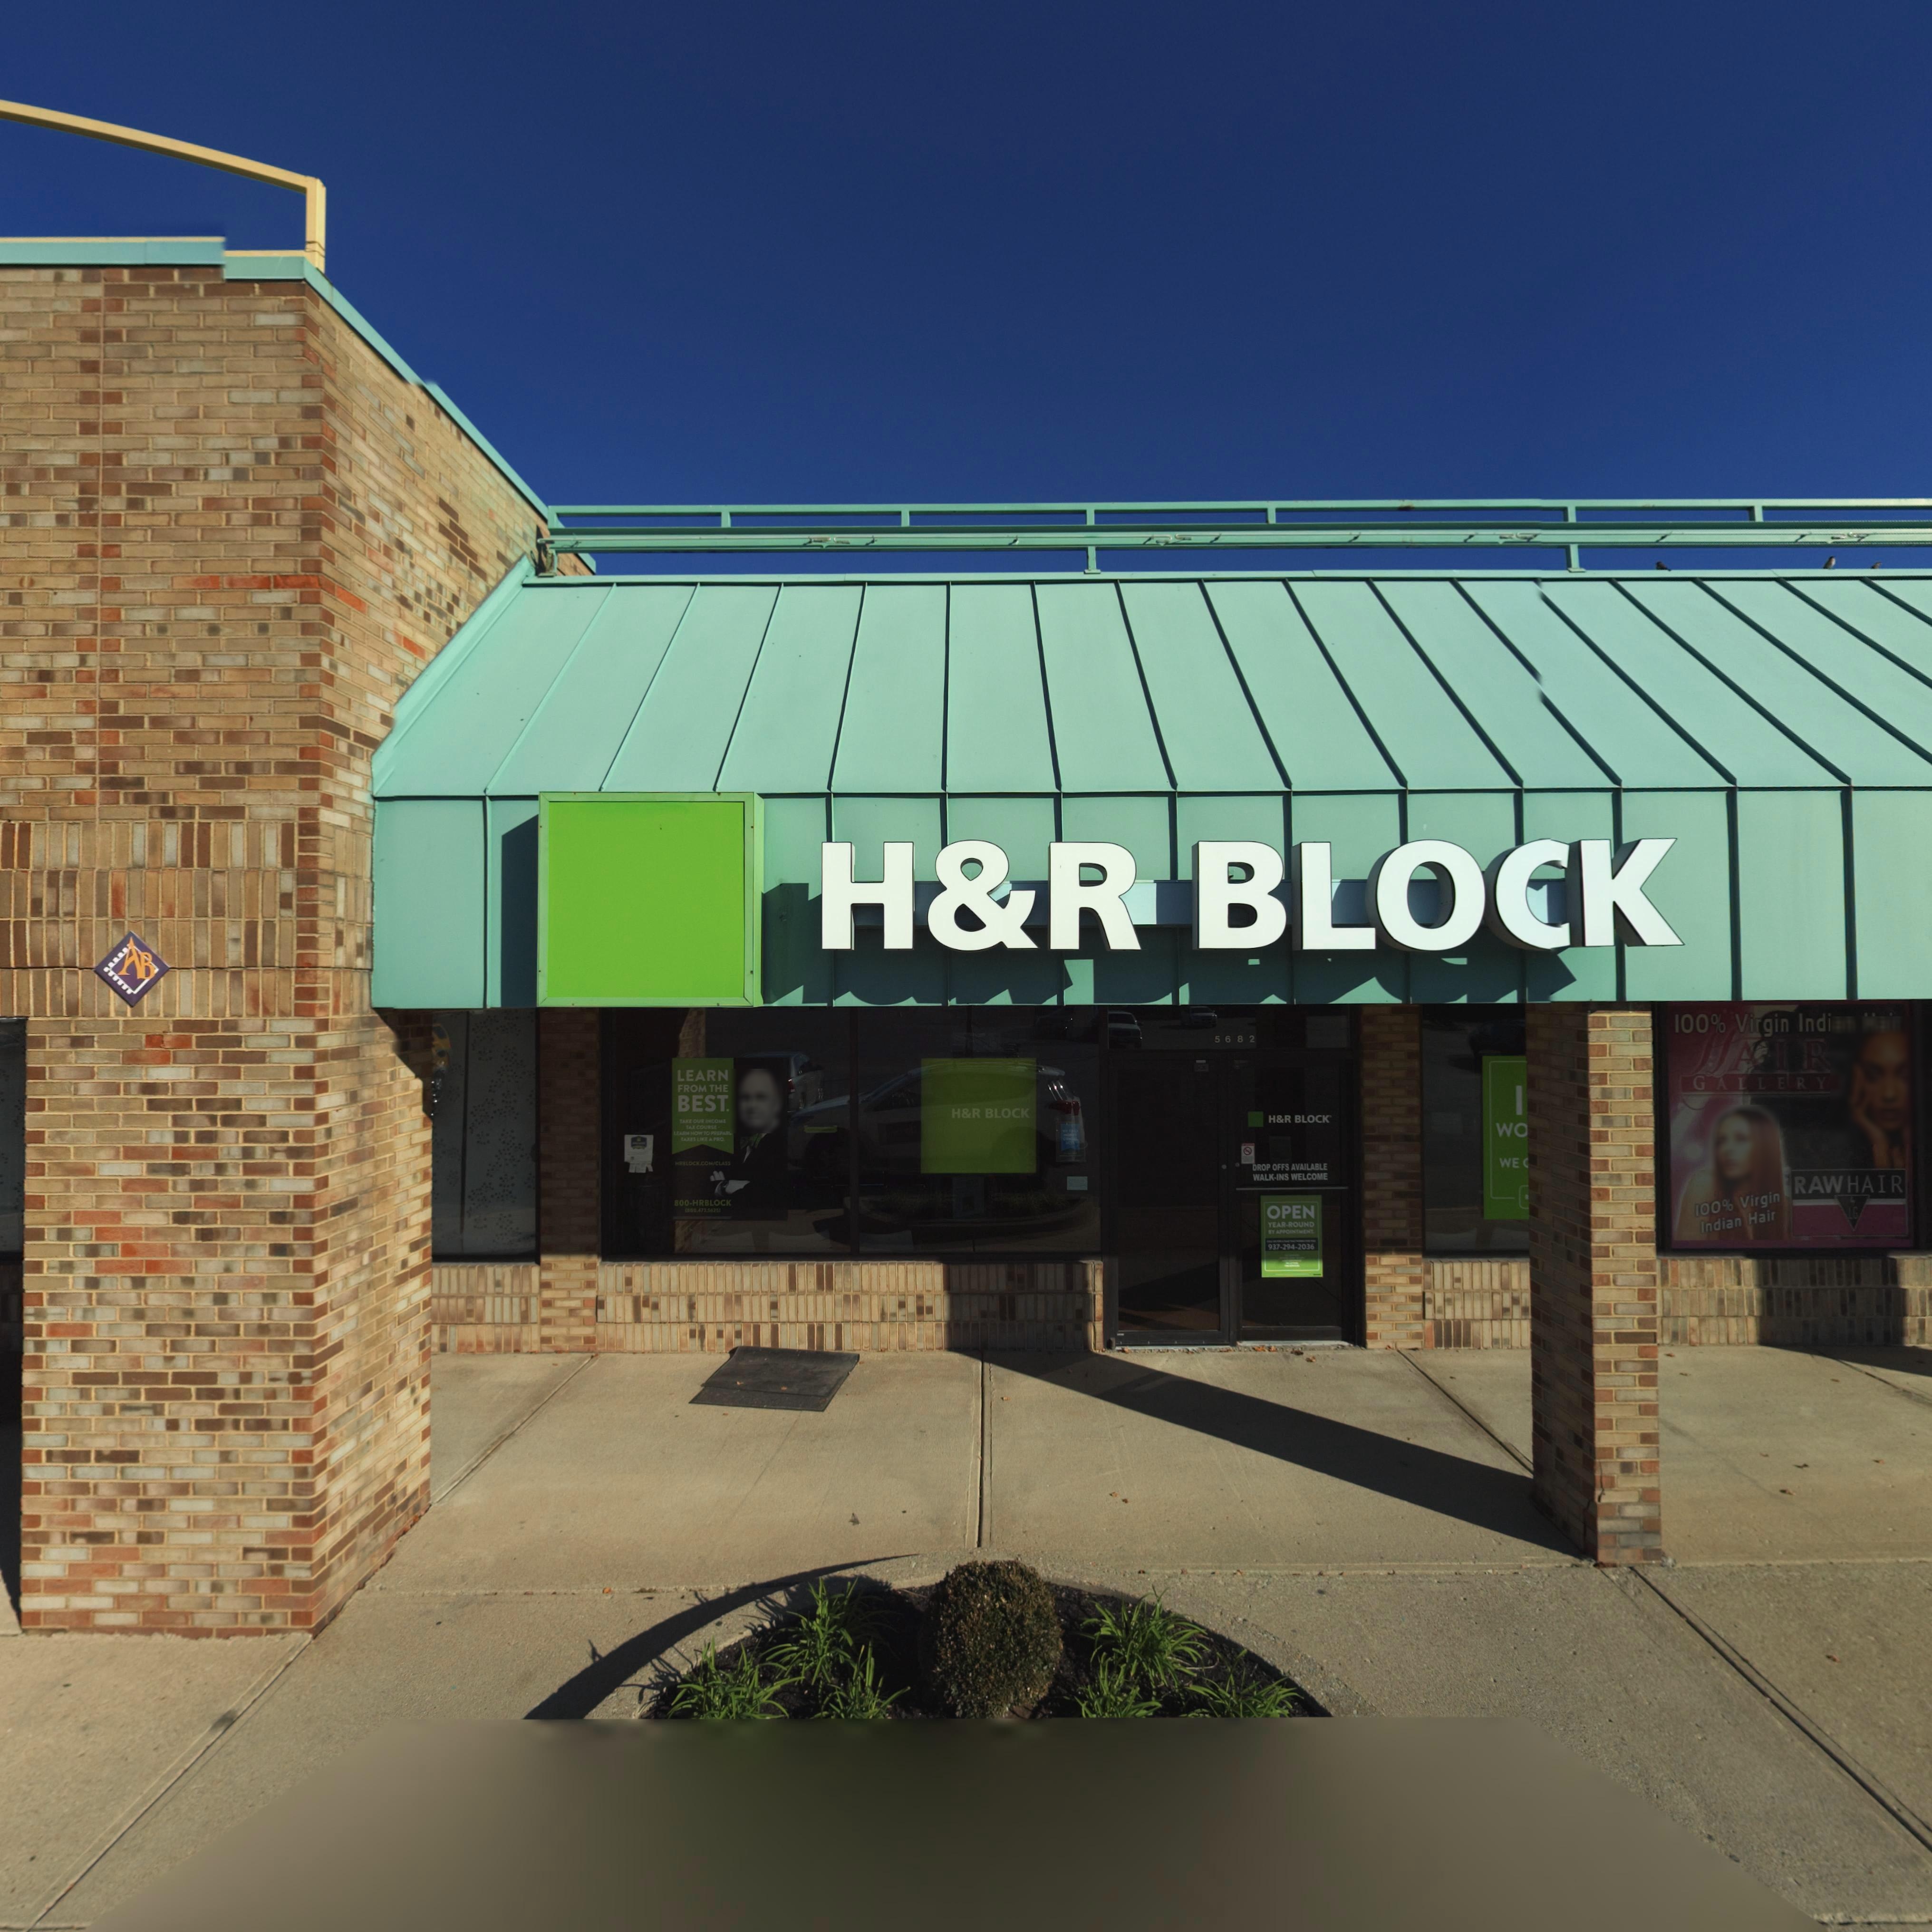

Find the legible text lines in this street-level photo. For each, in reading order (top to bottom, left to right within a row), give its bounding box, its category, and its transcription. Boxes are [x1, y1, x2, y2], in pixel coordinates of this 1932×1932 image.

[1214, 1035, 1255, 1043] StreetNumber: 5682